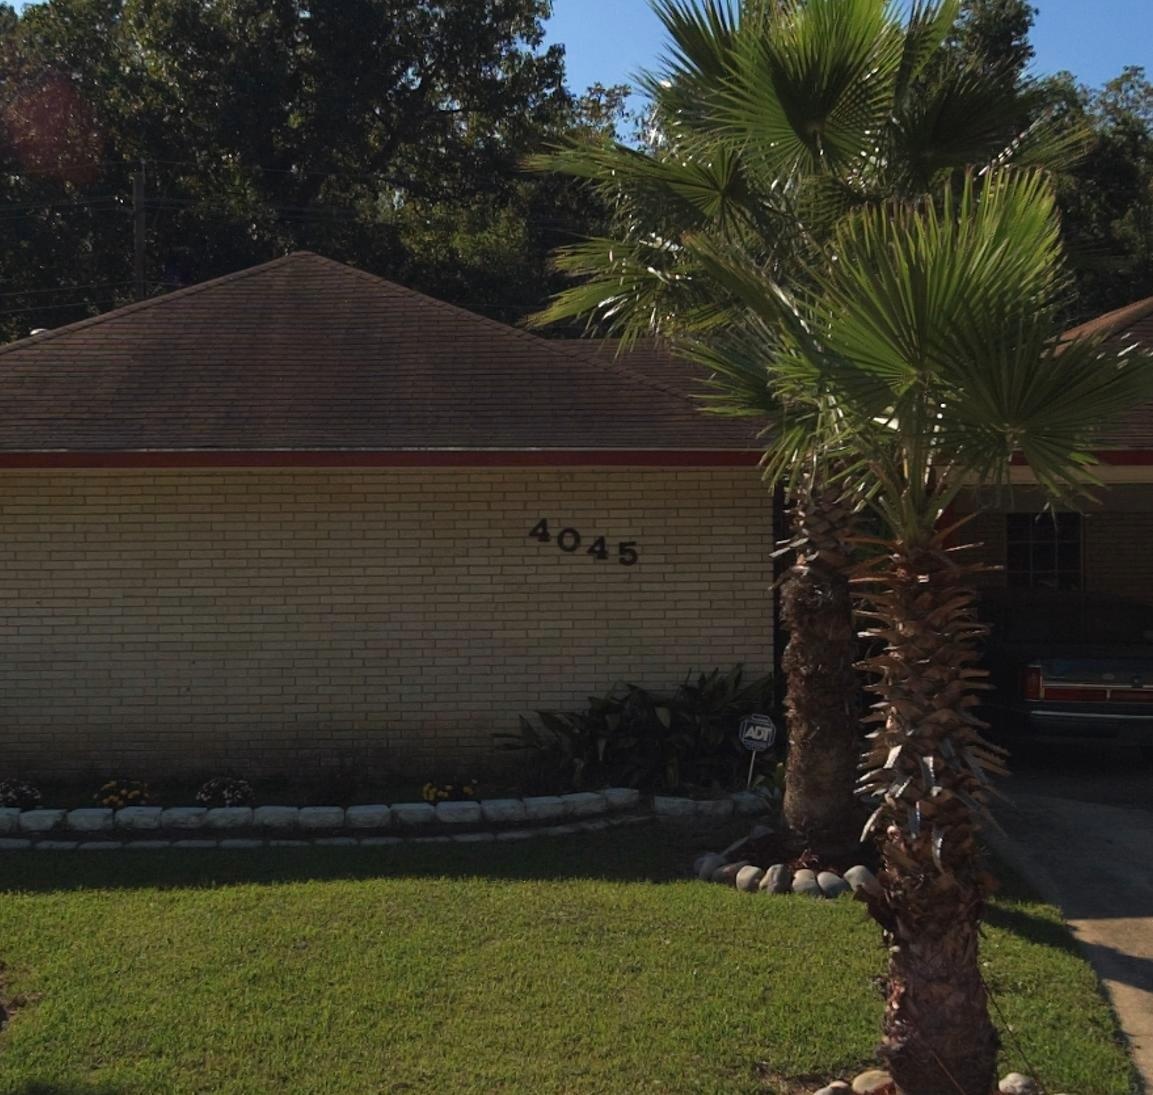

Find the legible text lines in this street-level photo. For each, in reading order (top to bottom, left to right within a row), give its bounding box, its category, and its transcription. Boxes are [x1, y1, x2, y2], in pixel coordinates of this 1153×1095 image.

[527, 517, 639, 566] StreetNumber: 4045
[741, 723, 773, 743] None: ADT